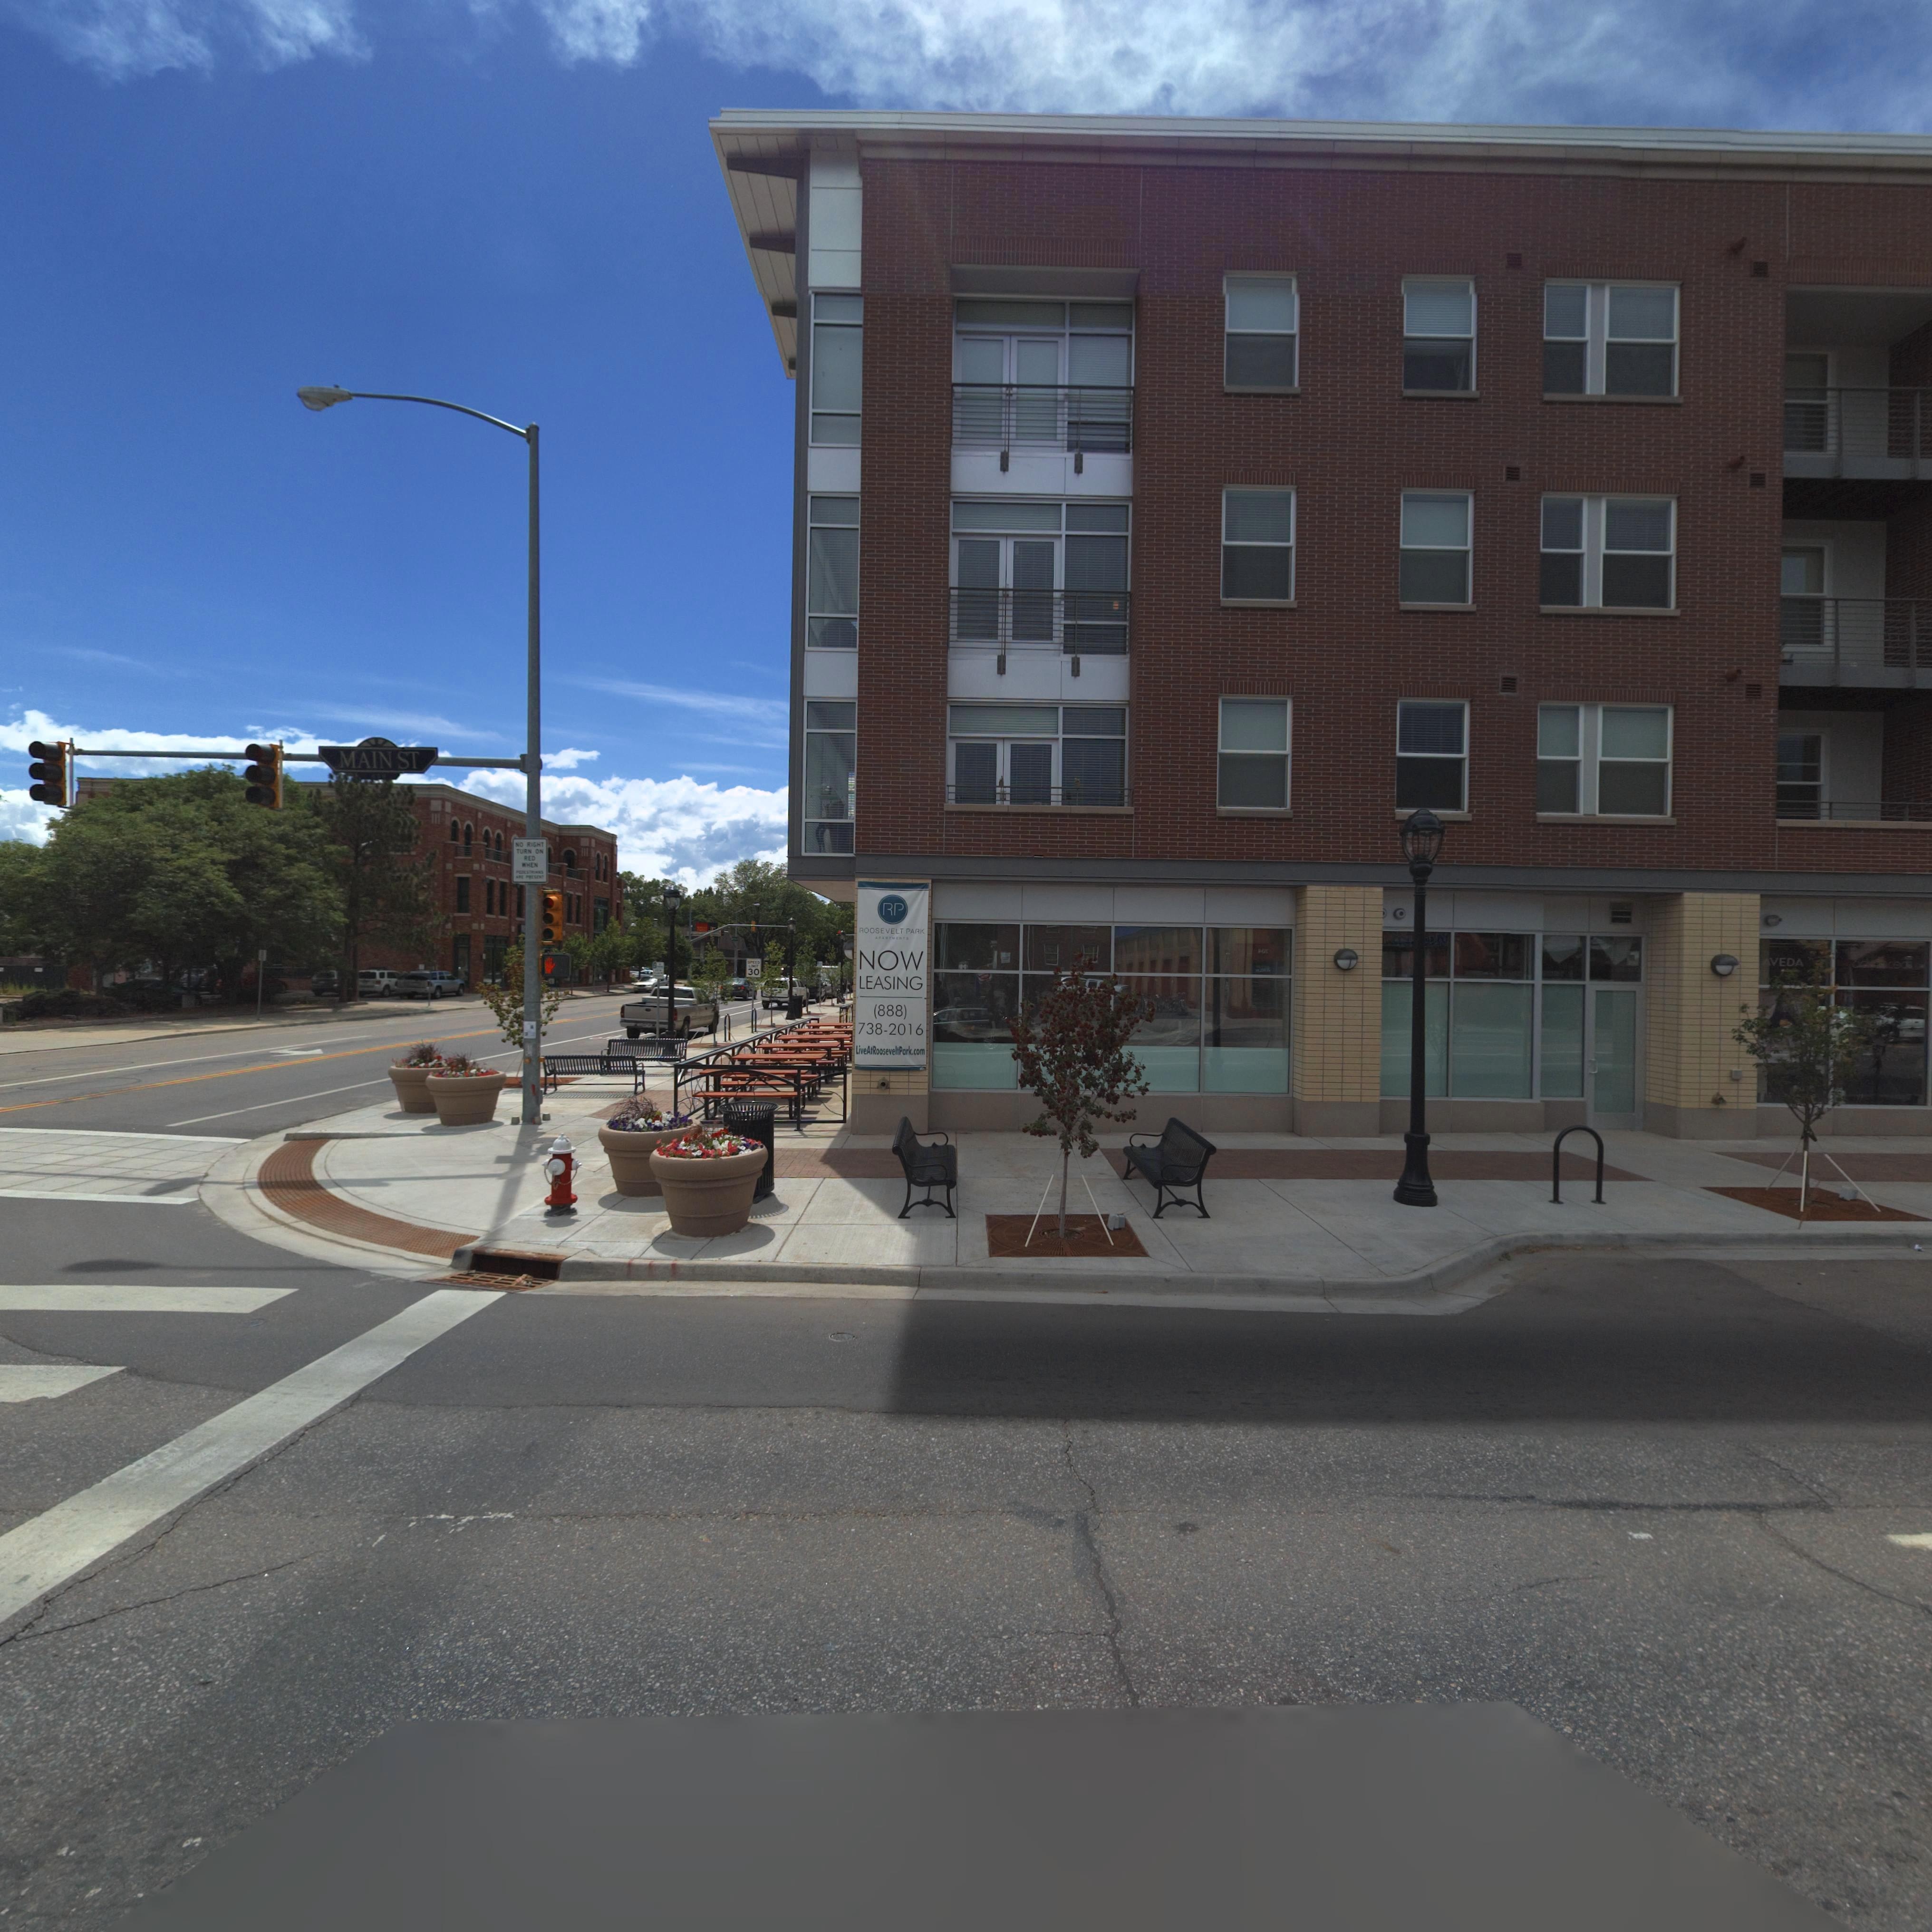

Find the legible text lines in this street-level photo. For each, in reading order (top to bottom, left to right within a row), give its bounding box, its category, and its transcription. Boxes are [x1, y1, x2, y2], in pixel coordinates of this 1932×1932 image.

[338, 749, 420, 769] StreetName: MAIN ST
[370, 772, 386, 779] StreetNumberRange: 600
[696, 925, 707, 929] BusinessName: W***s